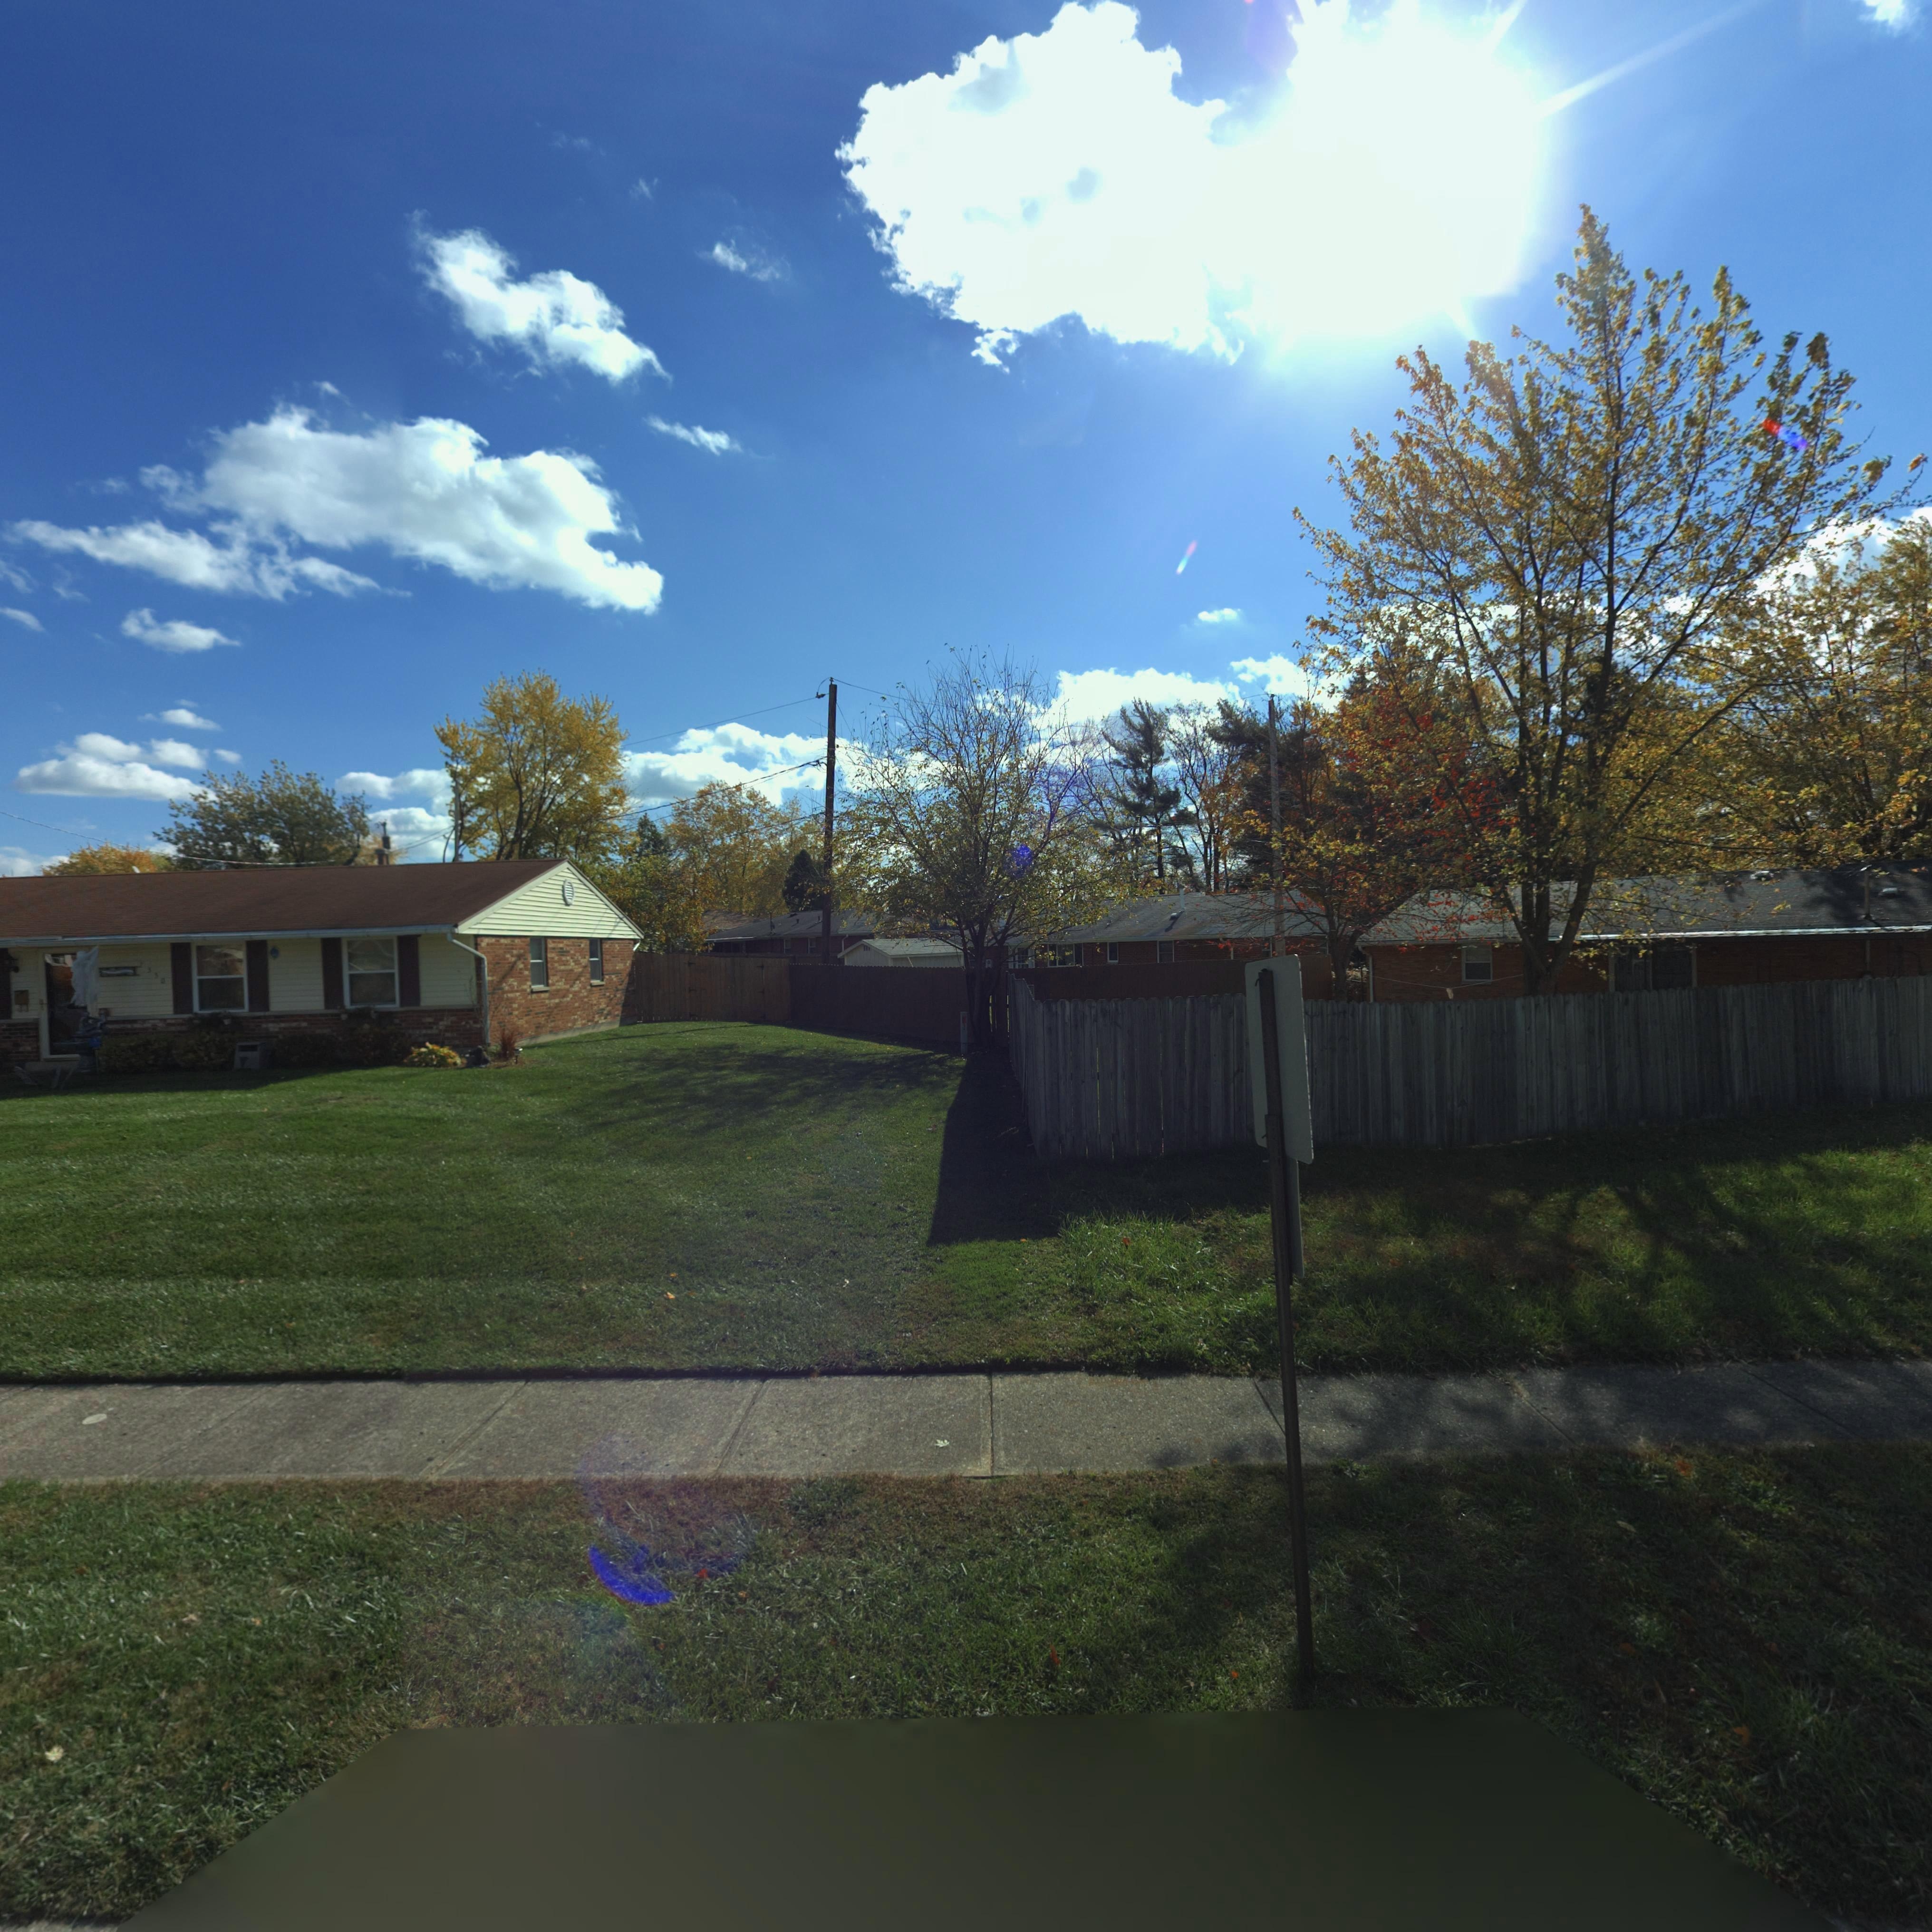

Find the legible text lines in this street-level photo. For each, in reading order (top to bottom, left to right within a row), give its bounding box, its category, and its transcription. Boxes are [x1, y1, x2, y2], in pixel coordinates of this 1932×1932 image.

[138, 961, 167, 985] StreetNumber: 7530